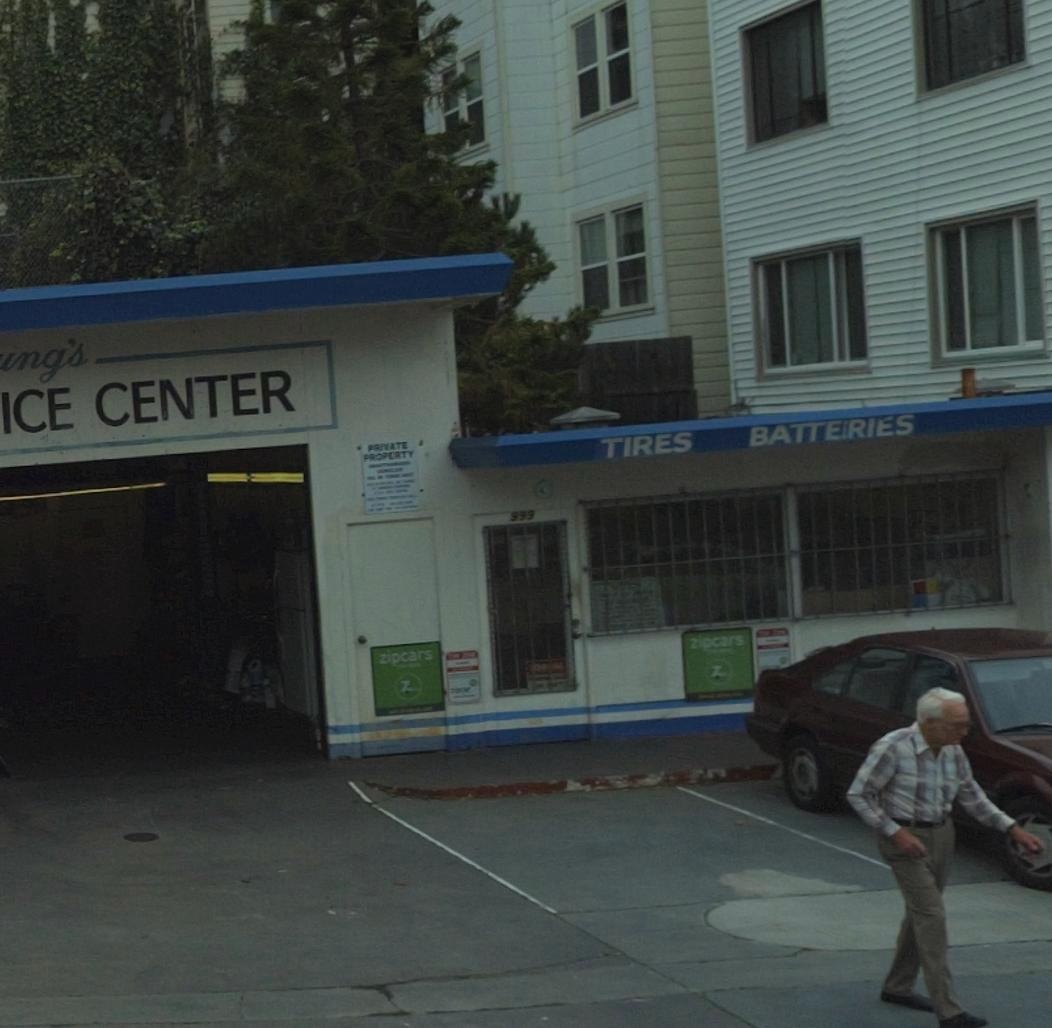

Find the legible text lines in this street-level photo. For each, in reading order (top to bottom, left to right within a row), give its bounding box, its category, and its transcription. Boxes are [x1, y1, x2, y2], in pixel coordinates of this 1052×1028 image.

[0, 336, 90, 386] BusinessName: ing's
[0, 369, 296, 437] BusinessName: ICE CENTER
[748, 413, 916, 448] None: BATTE*RIES
[367, 442, 408, 453] None: PRIVATE
[363, 450, 414, 463] None: PROPERTY
[600, 431, 695, 459] None: TIRES
[509, 509, 536, 522] StreetNumber: 999
[688, 634, 745, 653] None: zipcars
[379, 648, 433, 668] None: zipcars